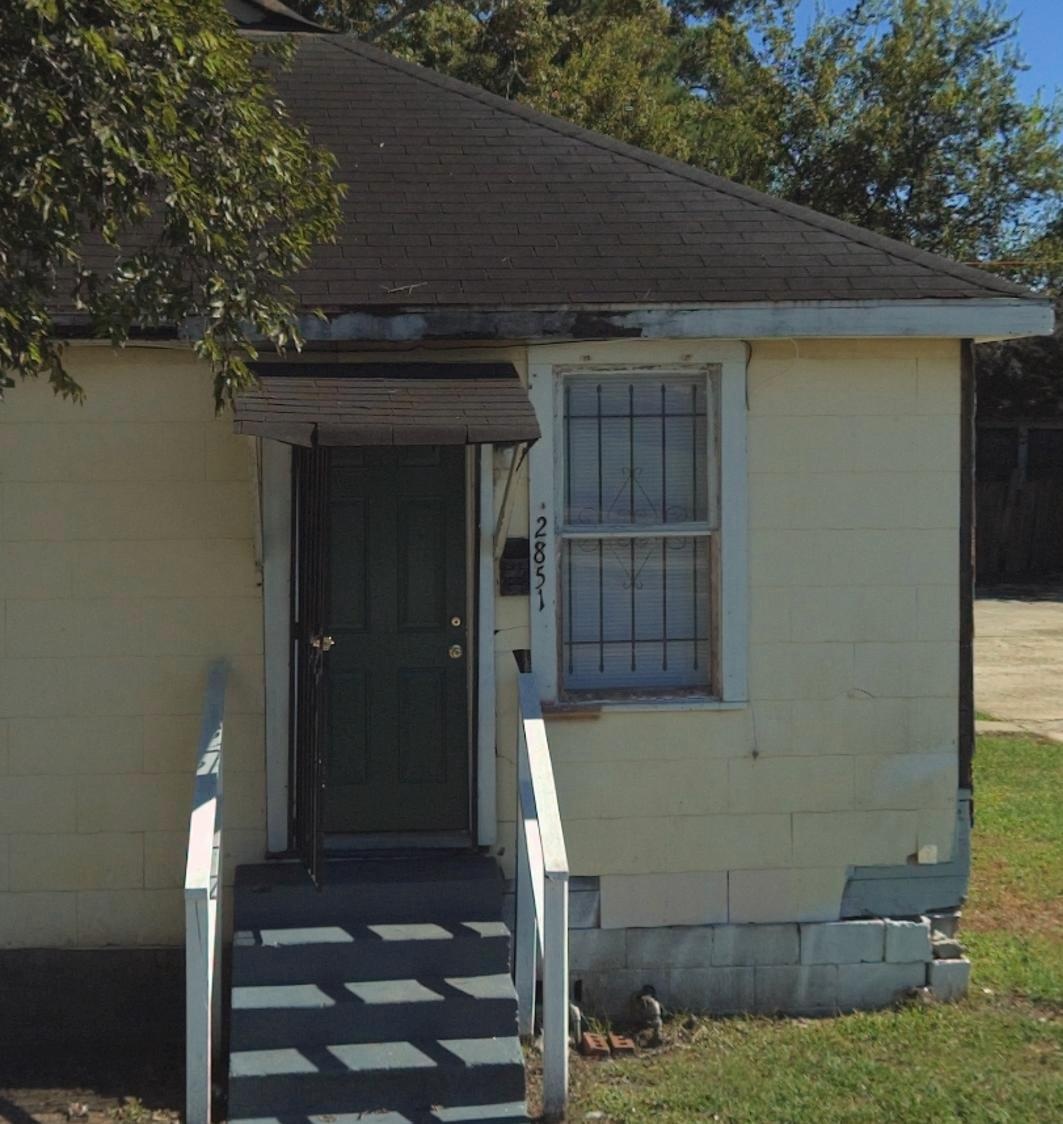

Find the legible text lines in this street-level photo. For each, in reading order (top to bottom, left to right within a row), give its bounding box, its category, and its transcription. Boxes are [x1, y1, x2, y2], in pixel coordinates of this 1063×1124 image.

[532, 514, 549, 614] StreetNumber: 2851